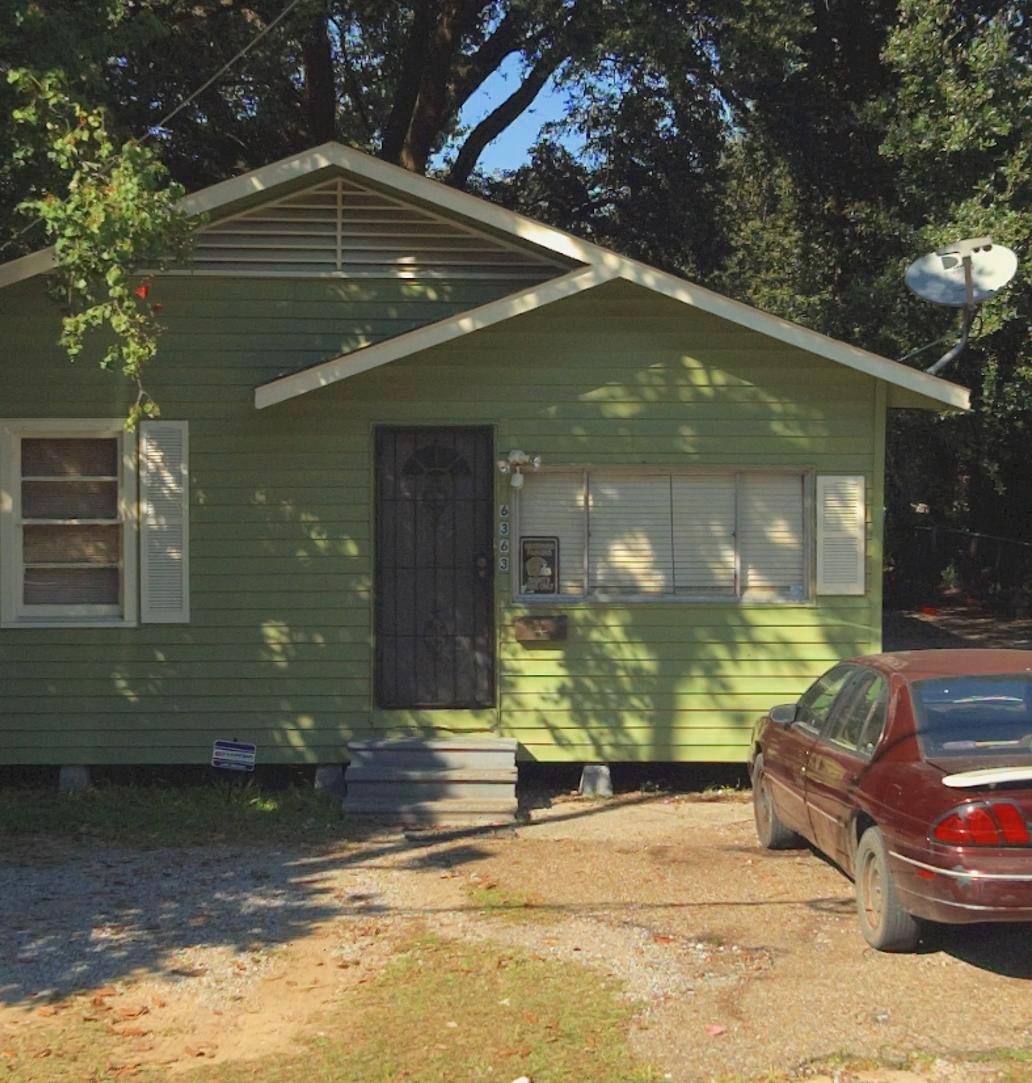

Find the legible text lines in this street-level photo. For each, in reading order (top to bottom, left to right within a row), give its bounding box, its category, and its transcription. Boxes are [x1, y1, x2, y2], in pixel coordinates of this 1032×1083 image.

[500, 504, 509, 570] StreetNumber: 6363